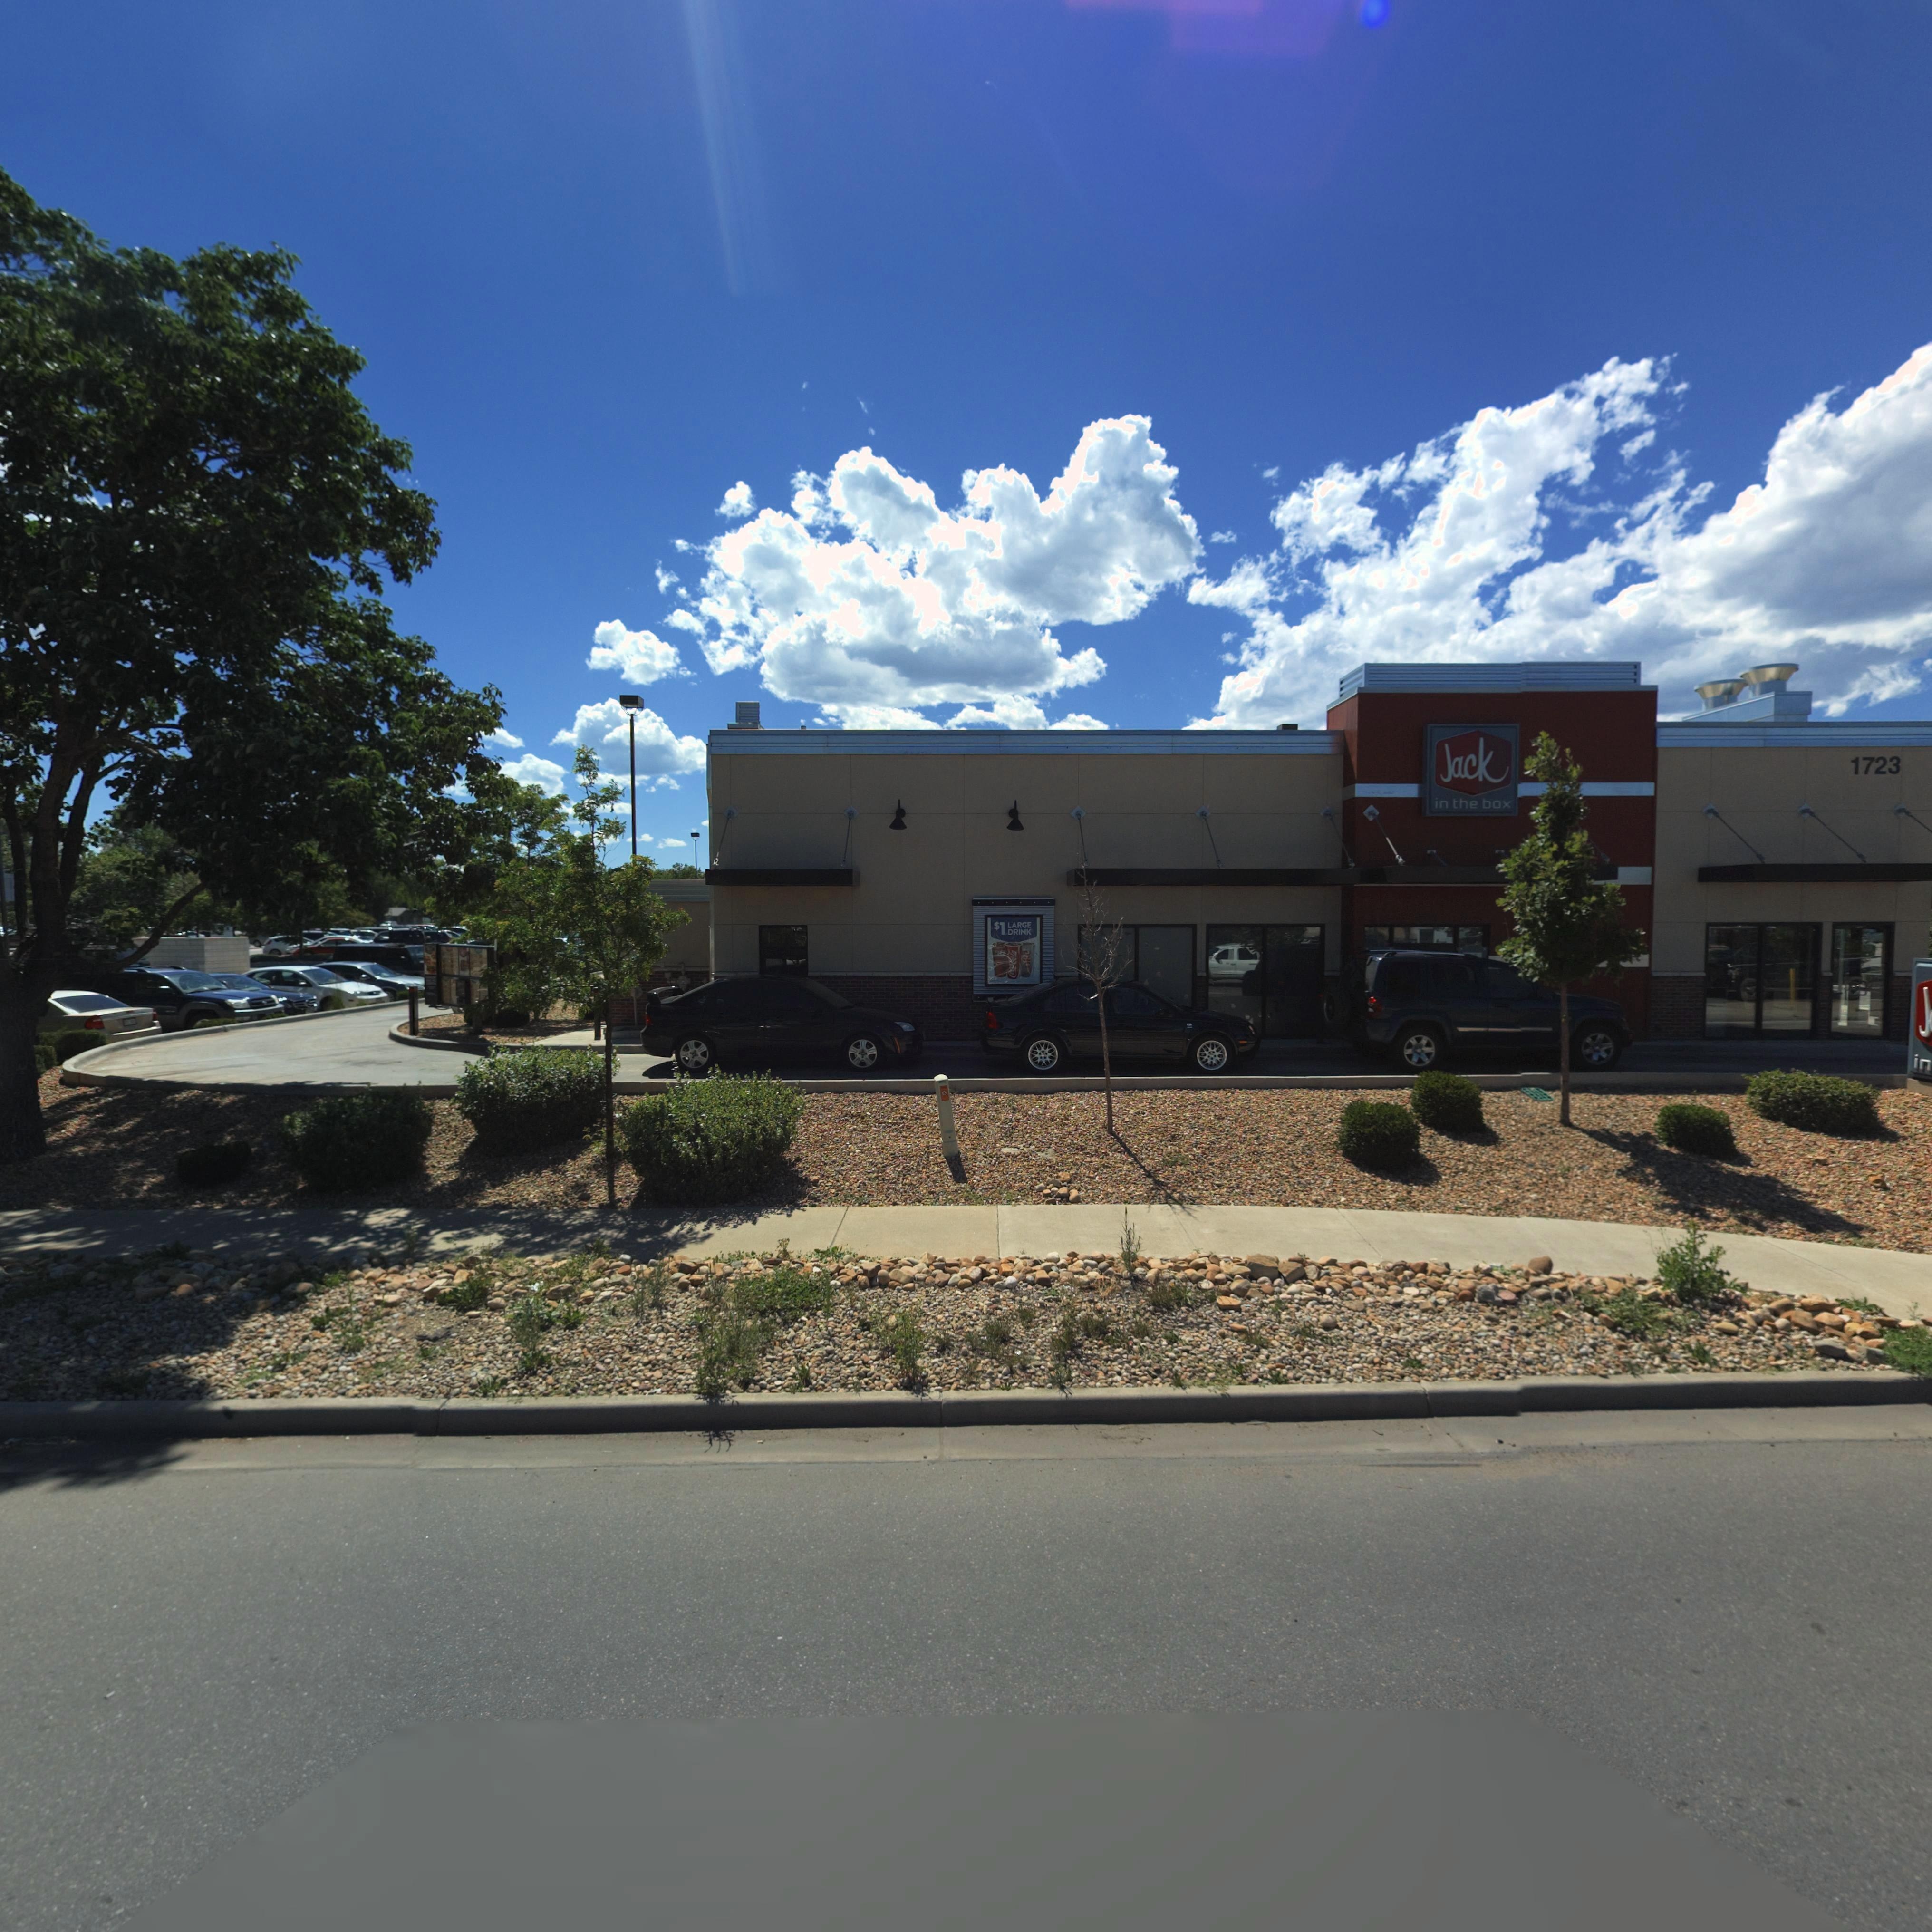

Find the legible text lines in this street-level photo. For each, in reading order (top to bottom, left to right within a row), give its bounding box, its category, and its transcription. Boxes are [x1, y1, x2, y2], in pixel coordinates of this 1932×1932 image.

[1439, 735, 1507, 784] BusinessName: Jack
[1849, 755, 1901, 775] StreetNumber: 1723
[1434, 797, 1511, 809] BusinessName: in the box
[1917, 986, 1931, 1038] BusinessName: J
[1913, 1052, 1932, 1072] BusinessName: in